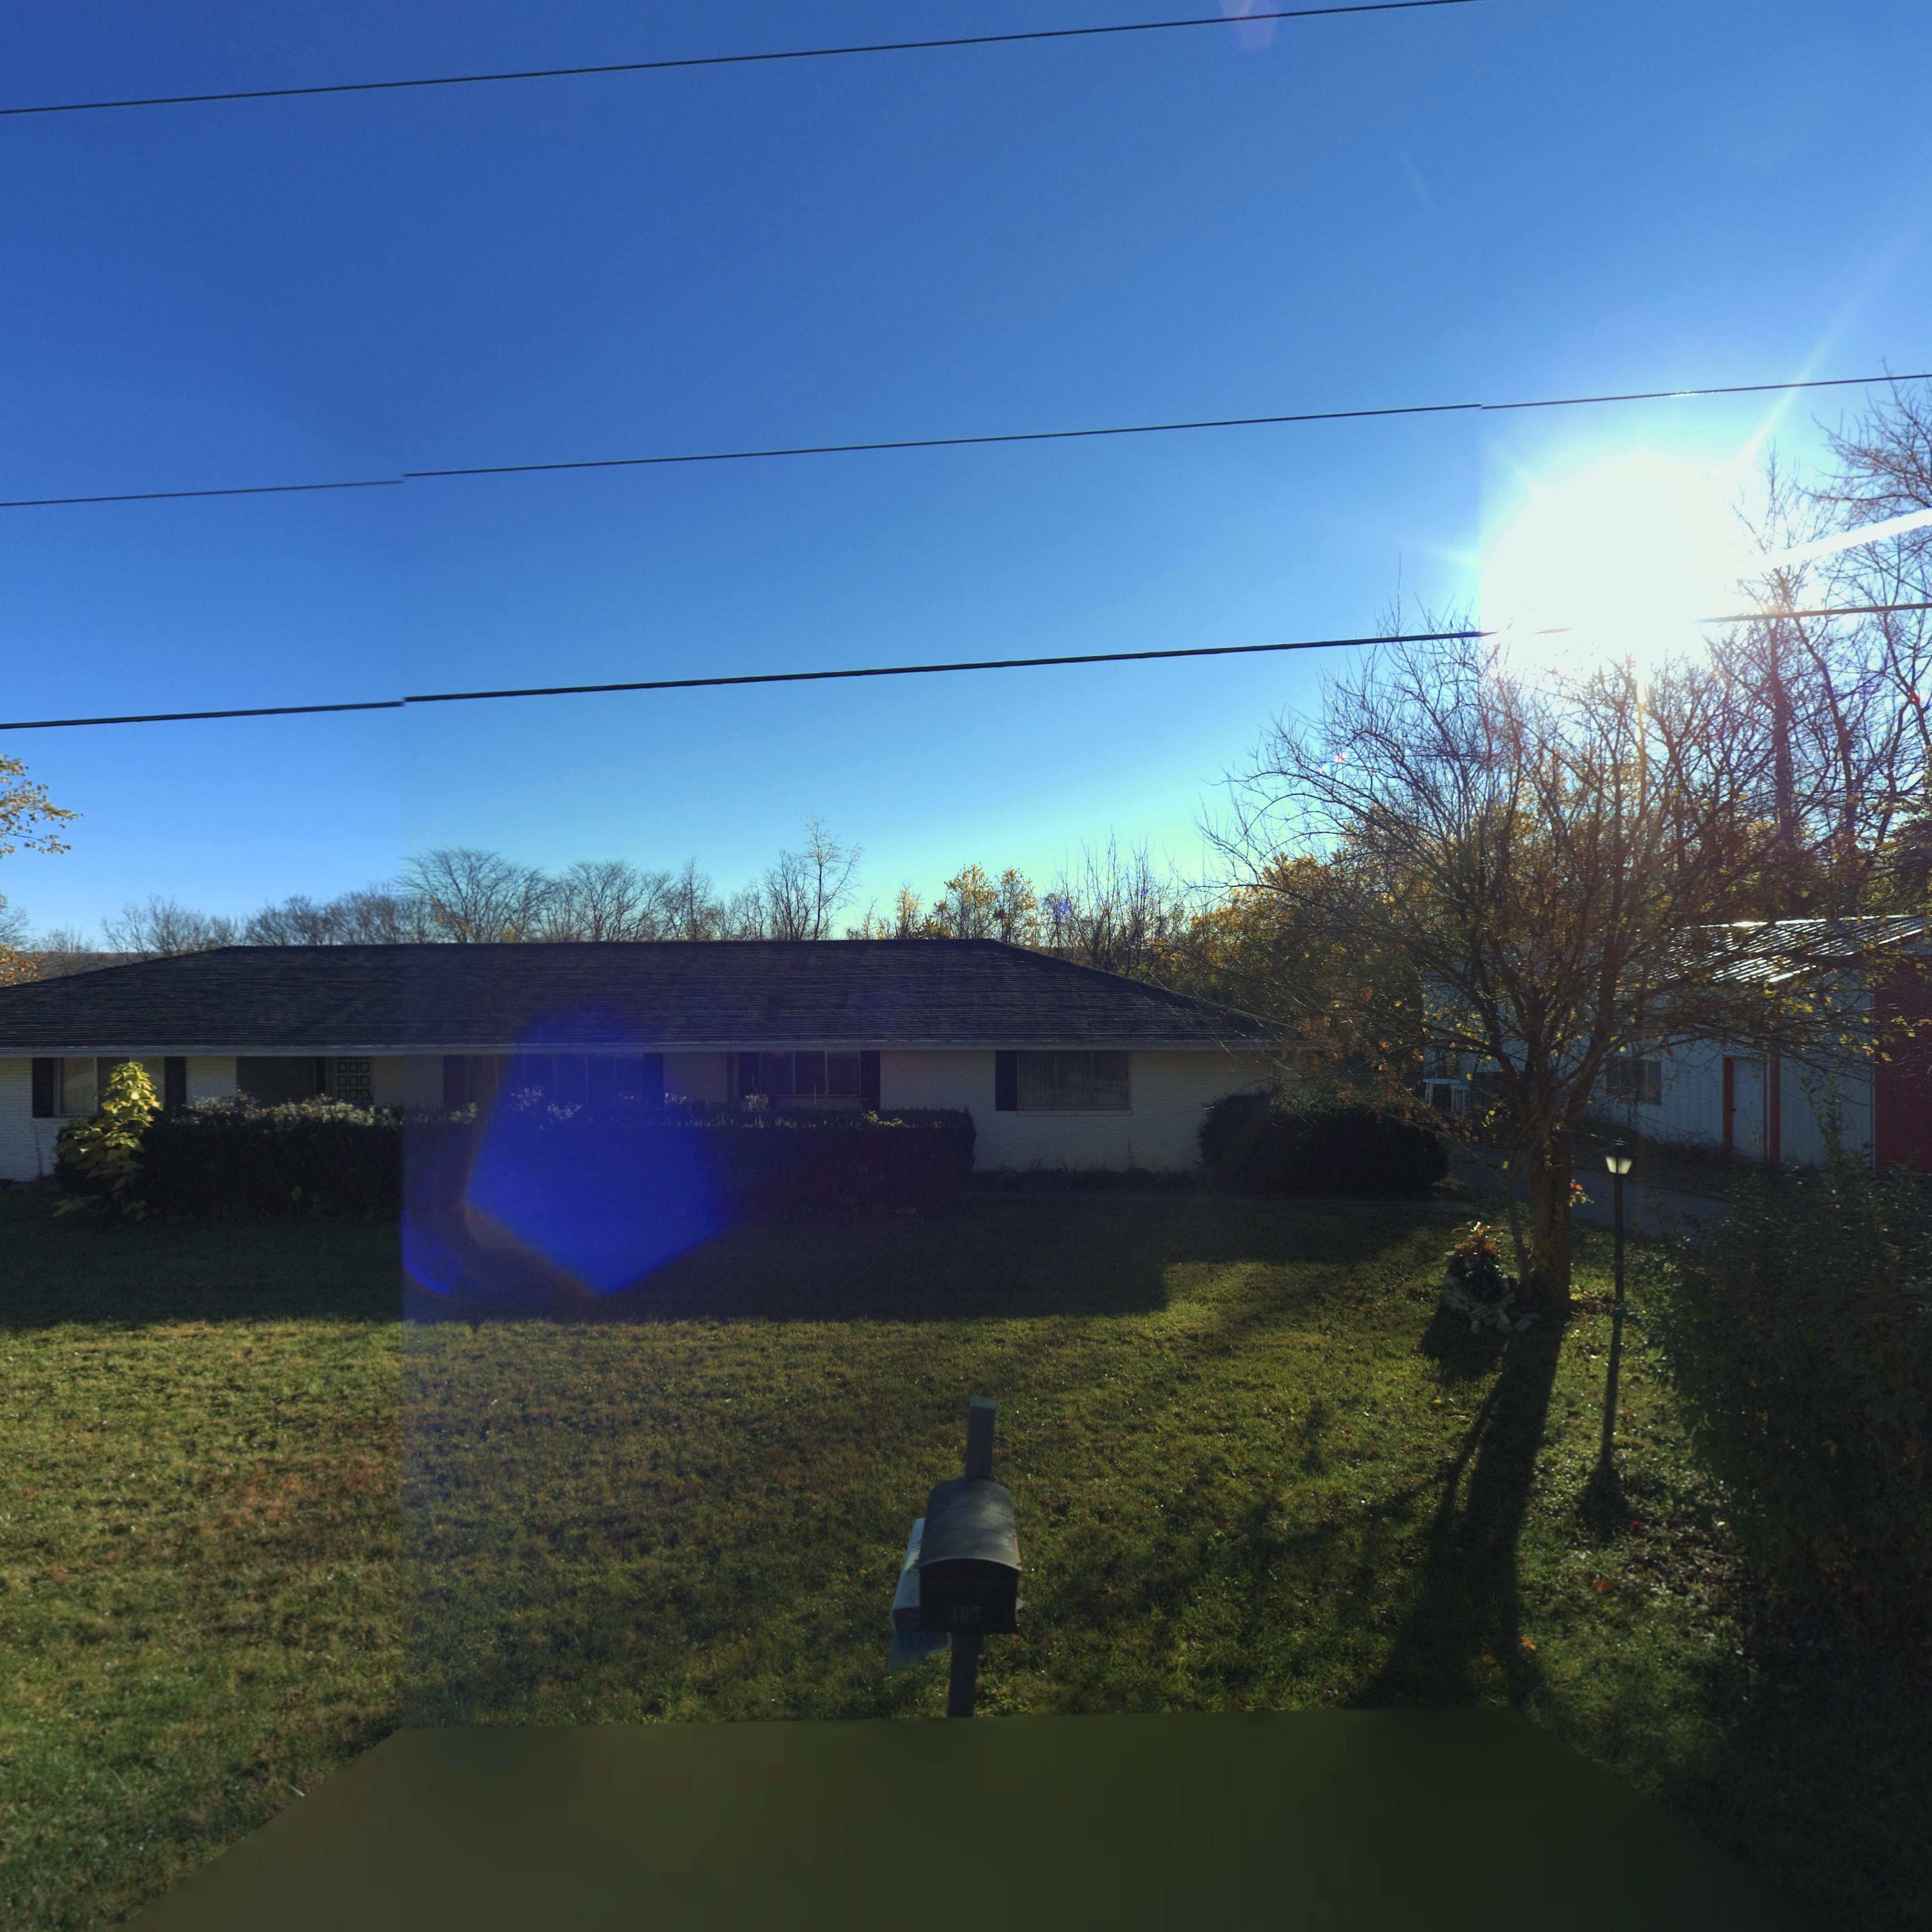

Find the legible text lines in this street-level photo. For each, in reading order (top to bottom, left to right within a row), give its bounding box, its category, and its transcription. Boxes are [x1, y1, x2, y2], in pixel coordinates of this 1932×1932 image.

[943, 1604, 984, 1626] StreetNumber: 407